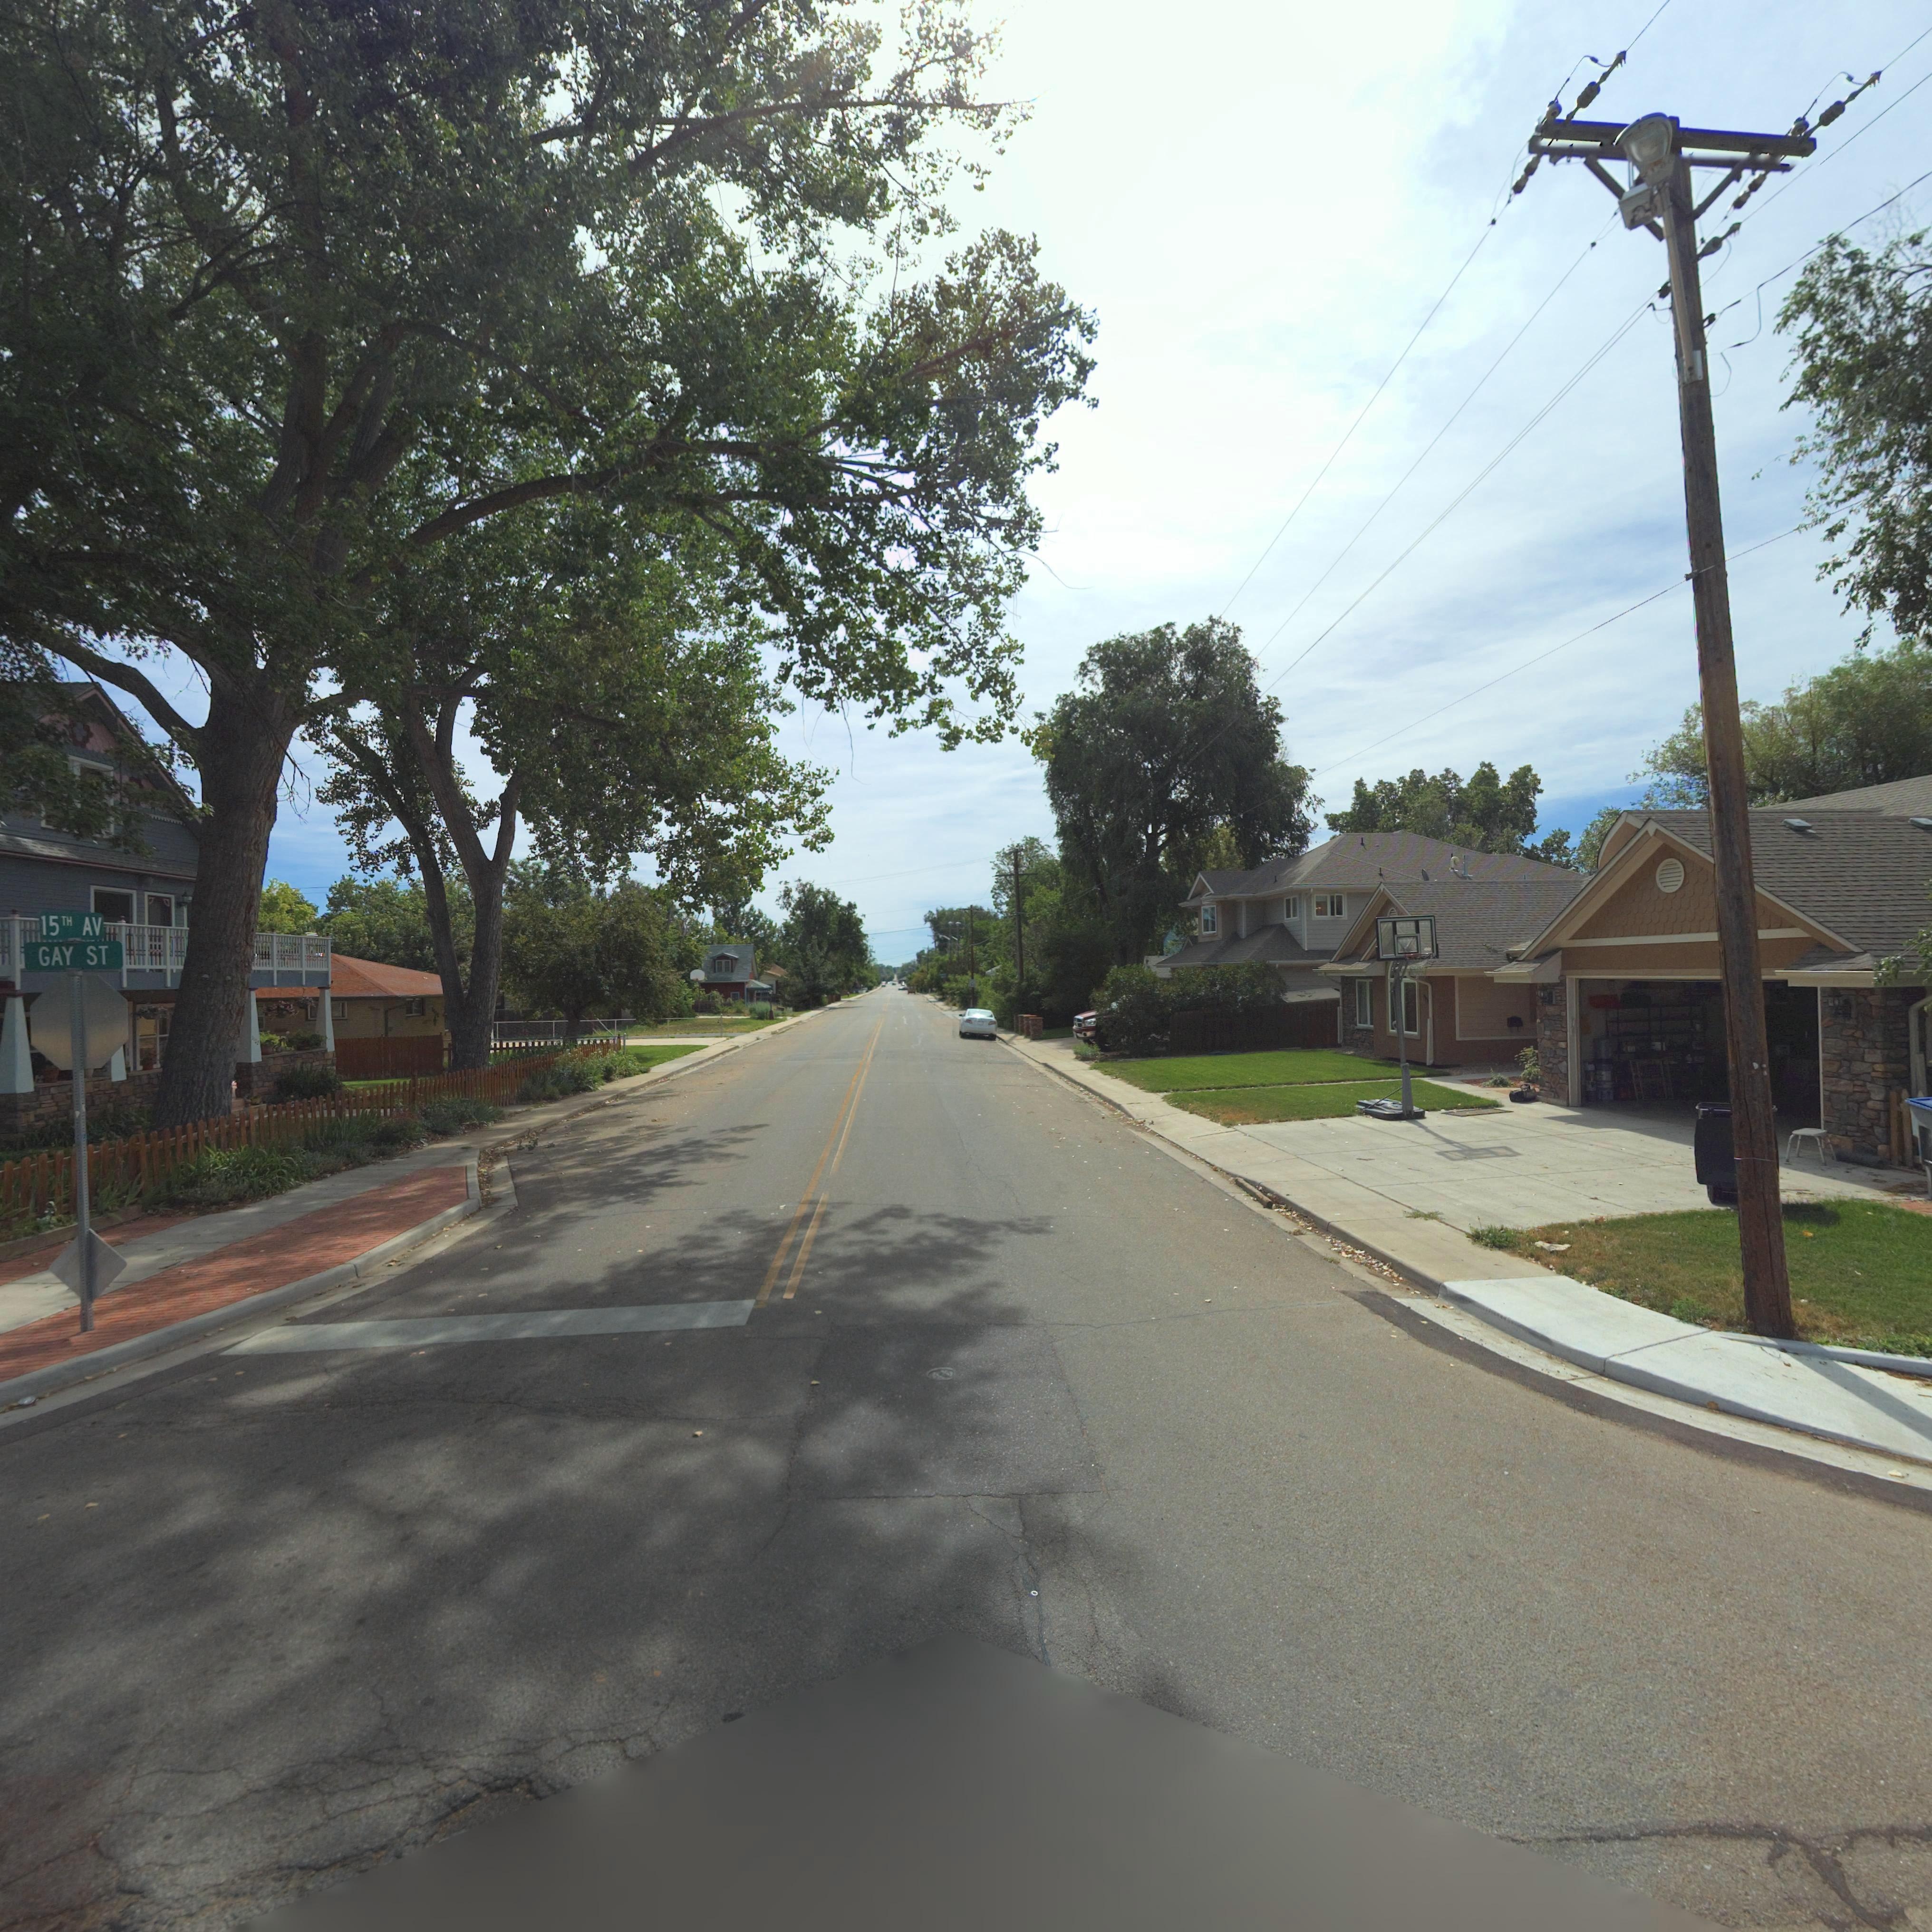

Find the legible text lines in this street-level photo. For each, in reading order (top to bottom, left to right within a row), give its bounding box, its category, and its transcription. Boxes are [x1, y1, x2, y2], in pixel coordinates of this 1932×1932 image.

[40, 915, 102, 936] StreetName: 15TH AV
[38, 945, 108, 966] StreetName: GAY ST